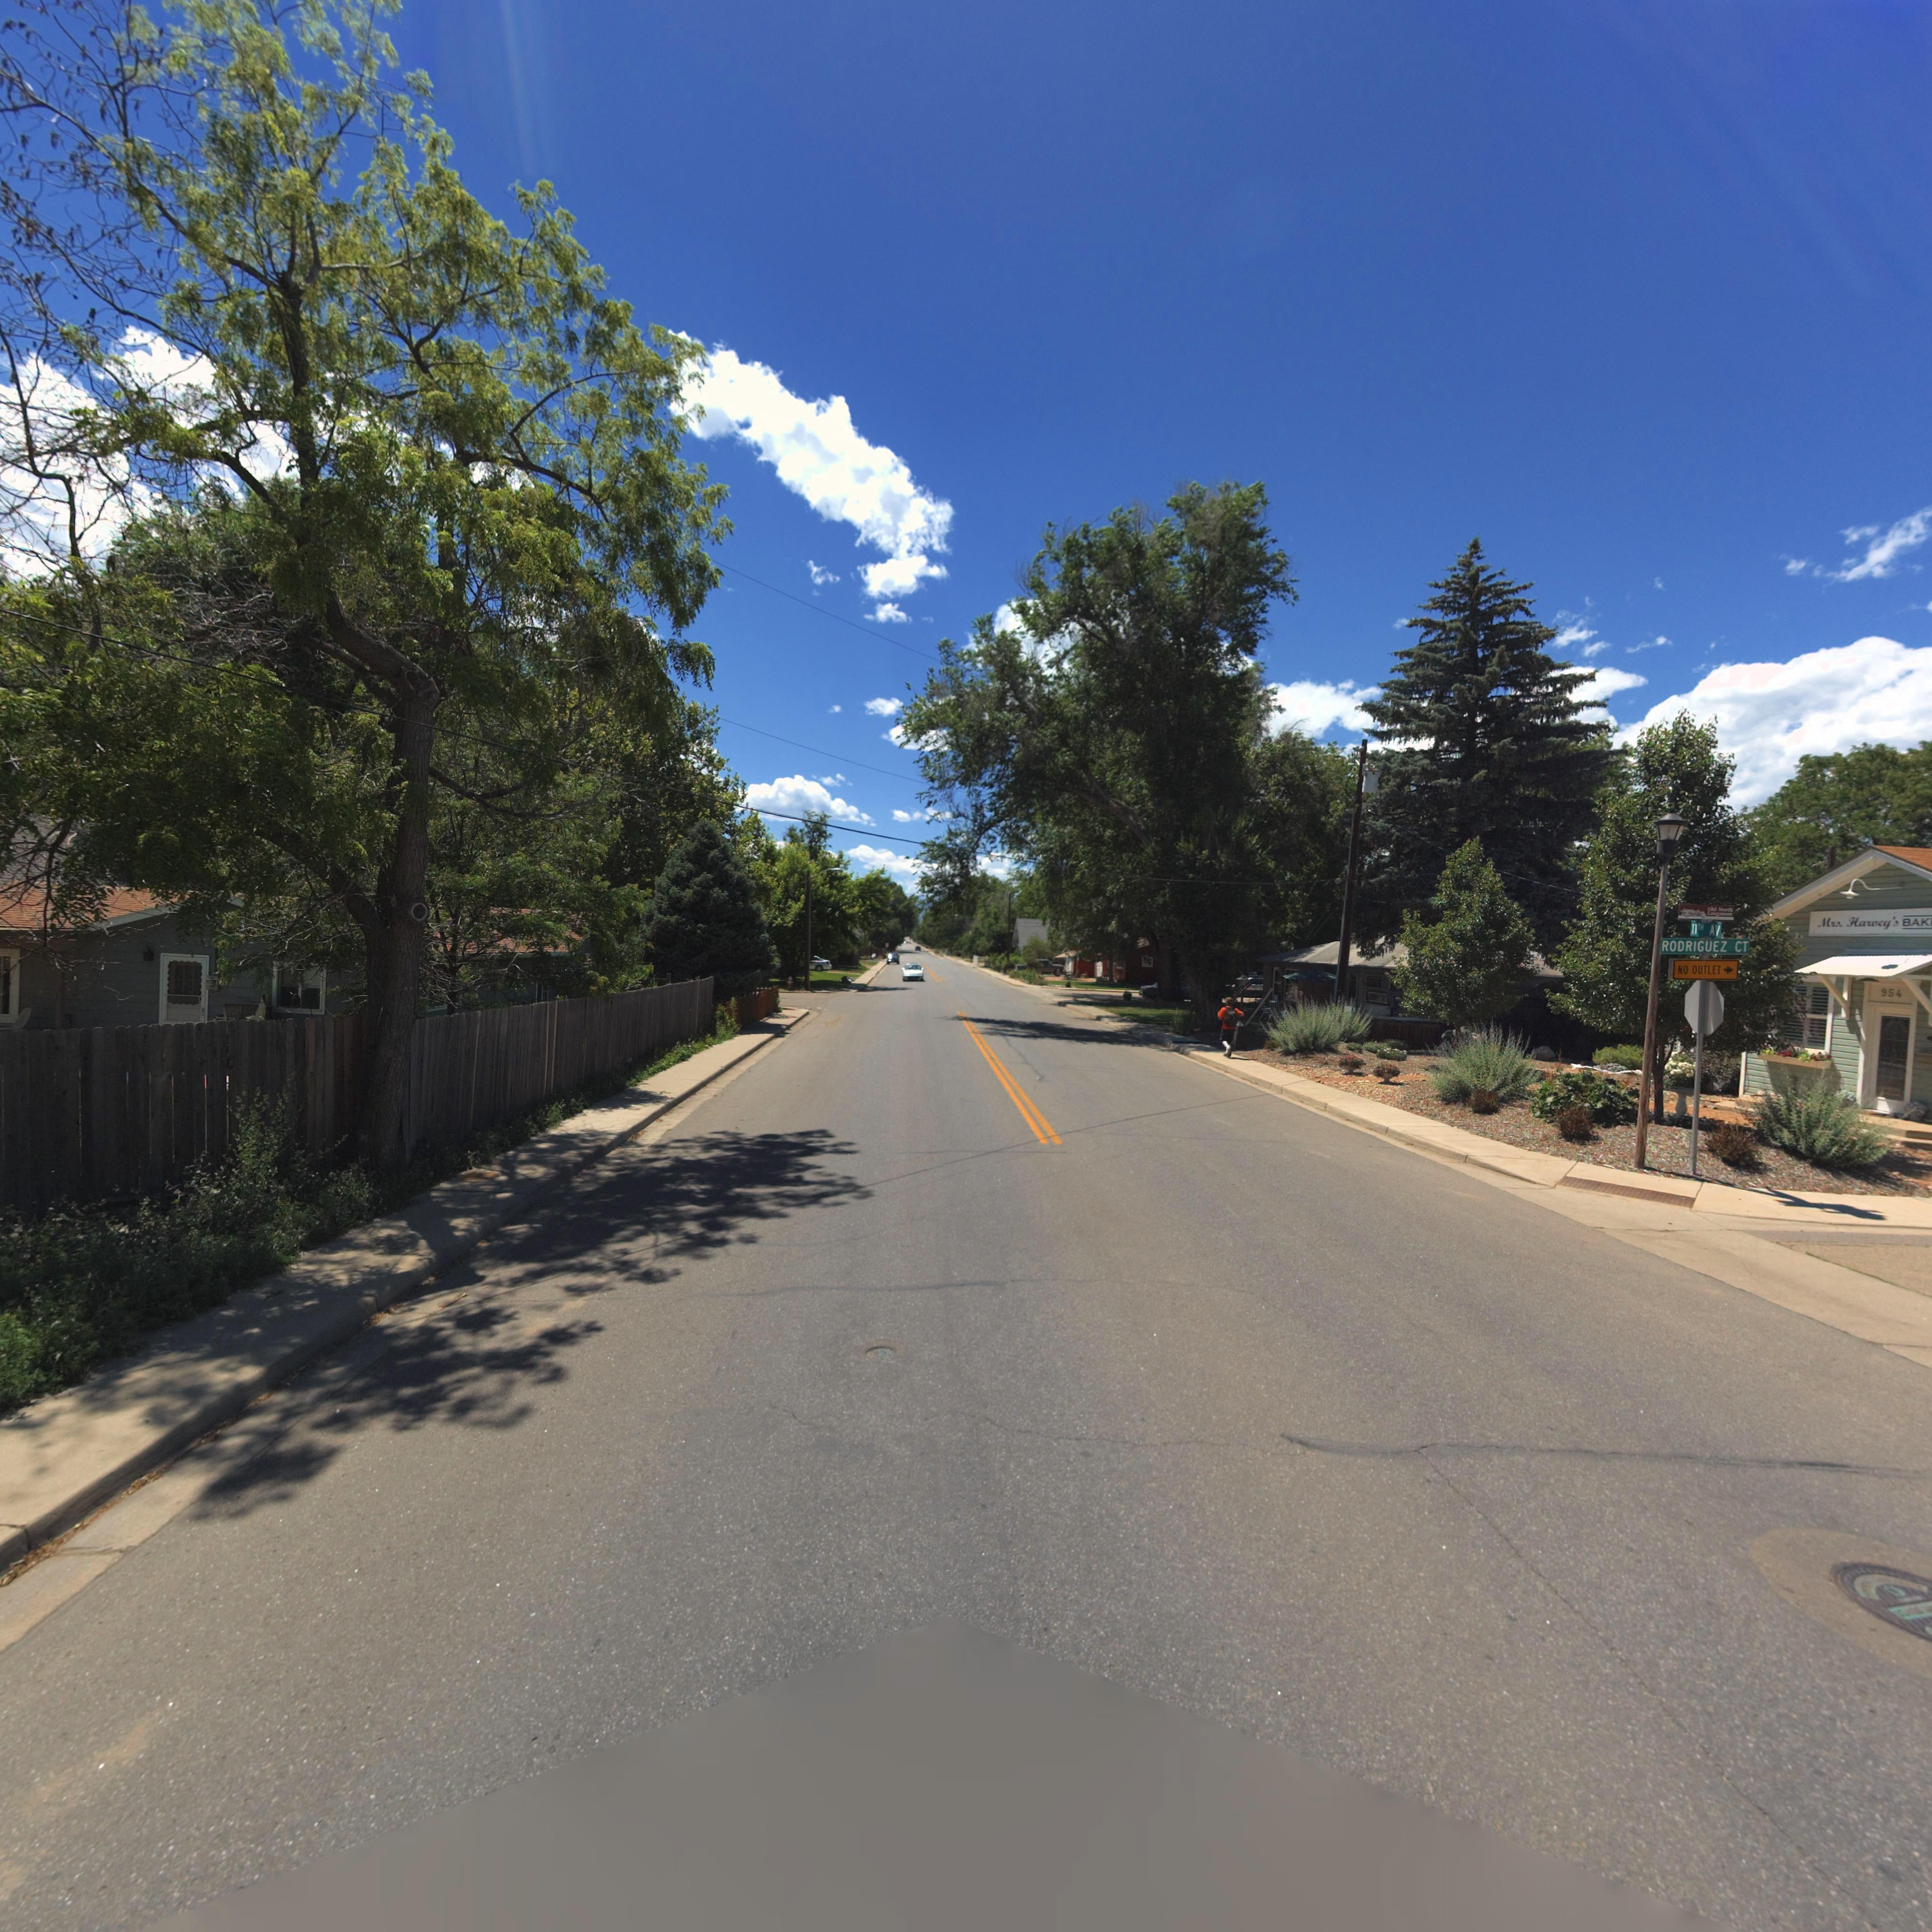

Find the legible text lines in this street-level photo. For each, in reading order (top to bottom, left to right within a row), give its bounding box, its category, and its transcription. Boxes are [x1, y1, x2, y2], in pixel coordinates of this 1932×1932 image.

[1691, 923, 1721, 937] StreetName: 11TH AV
[1817, 916, 1930, 930] BusinessName: Mrs. Harvey's BAK
[1661, 940, 1749, 952] StreetName: RODRIGUEZ CT
[1880, 988, 1902, 997] StreetNumber: 954